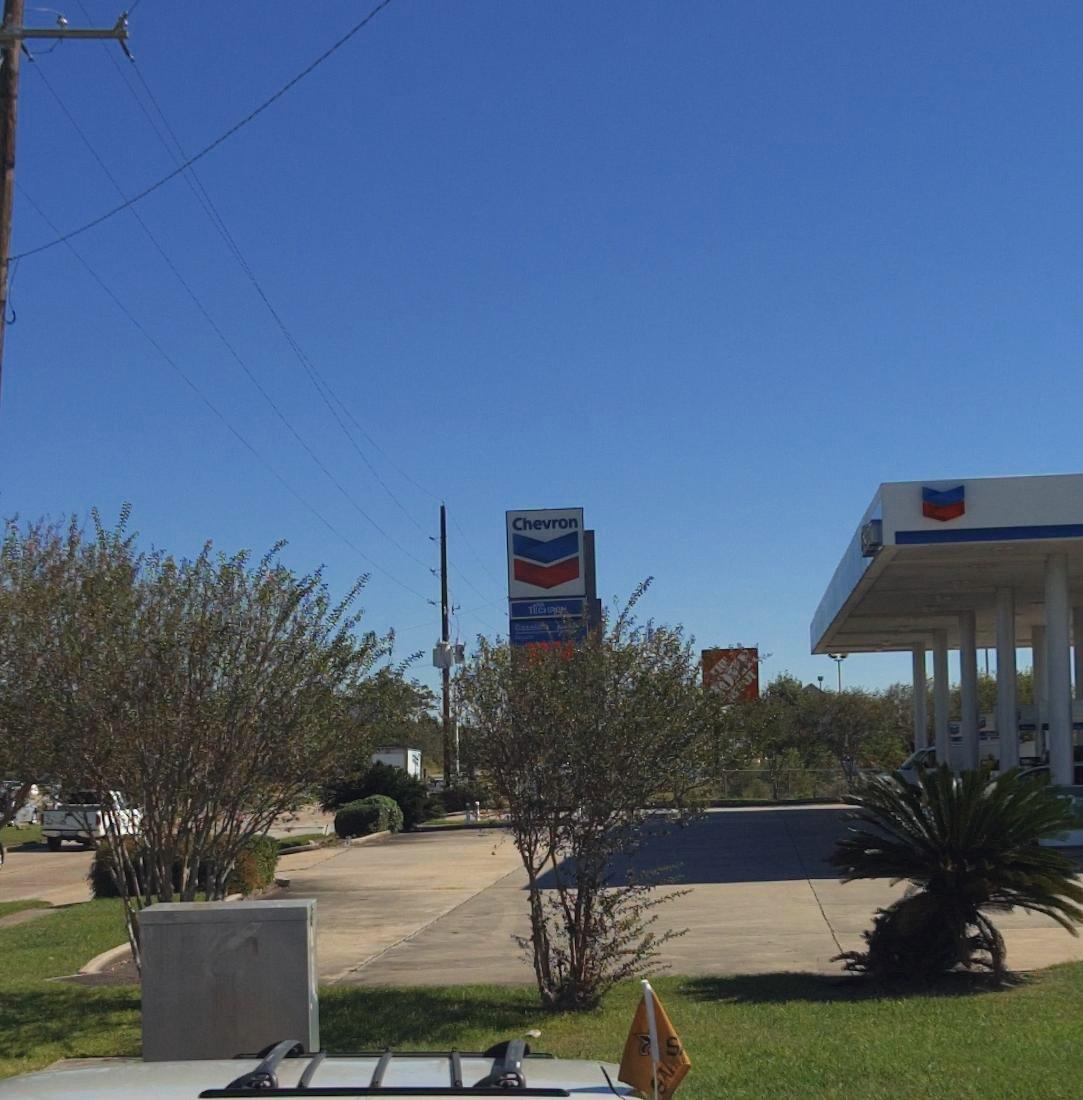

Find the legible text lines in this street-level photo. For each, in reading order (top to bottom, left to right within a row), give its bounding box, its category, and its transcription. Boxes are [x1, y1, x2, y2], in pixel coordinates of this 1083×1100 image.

[510, 515, 580, 534] BusinessName: Chevron